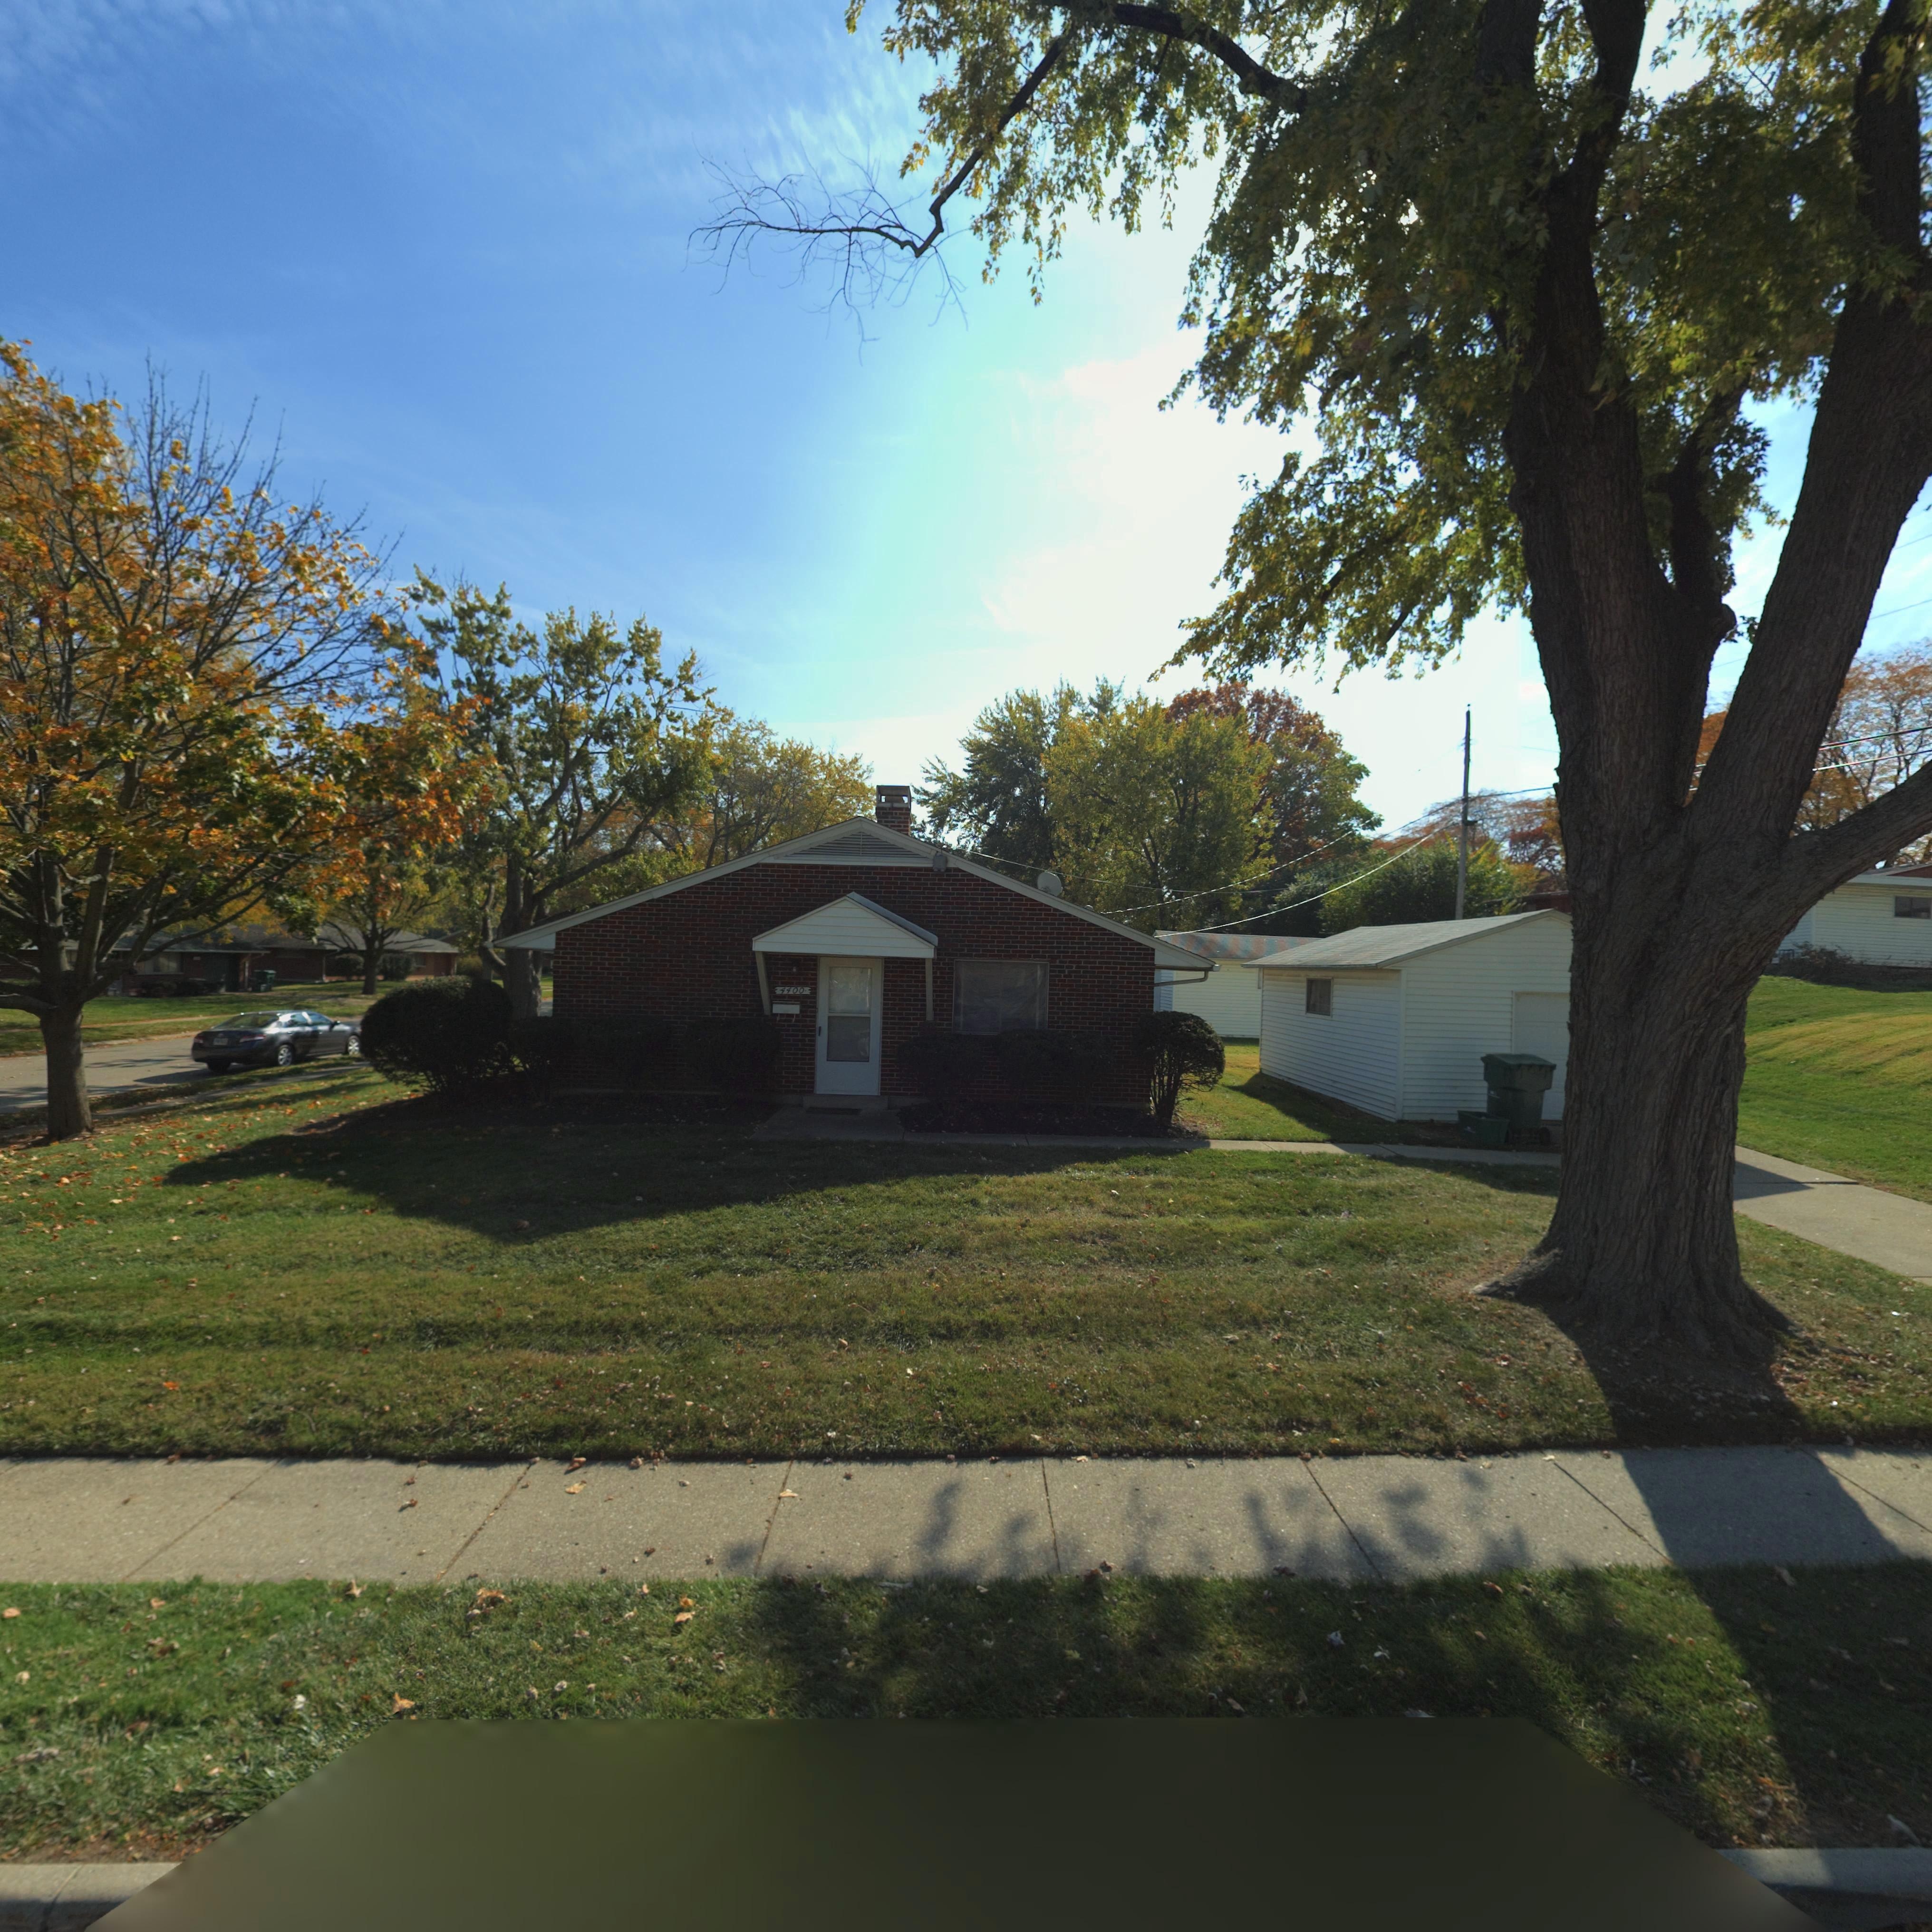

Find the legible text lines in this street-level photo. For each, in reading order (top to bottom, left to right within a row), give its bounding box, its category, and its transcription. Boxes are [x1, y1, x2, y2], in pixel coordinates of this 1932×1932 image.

[780, 986, 805, 995] StreetNumber: 4400